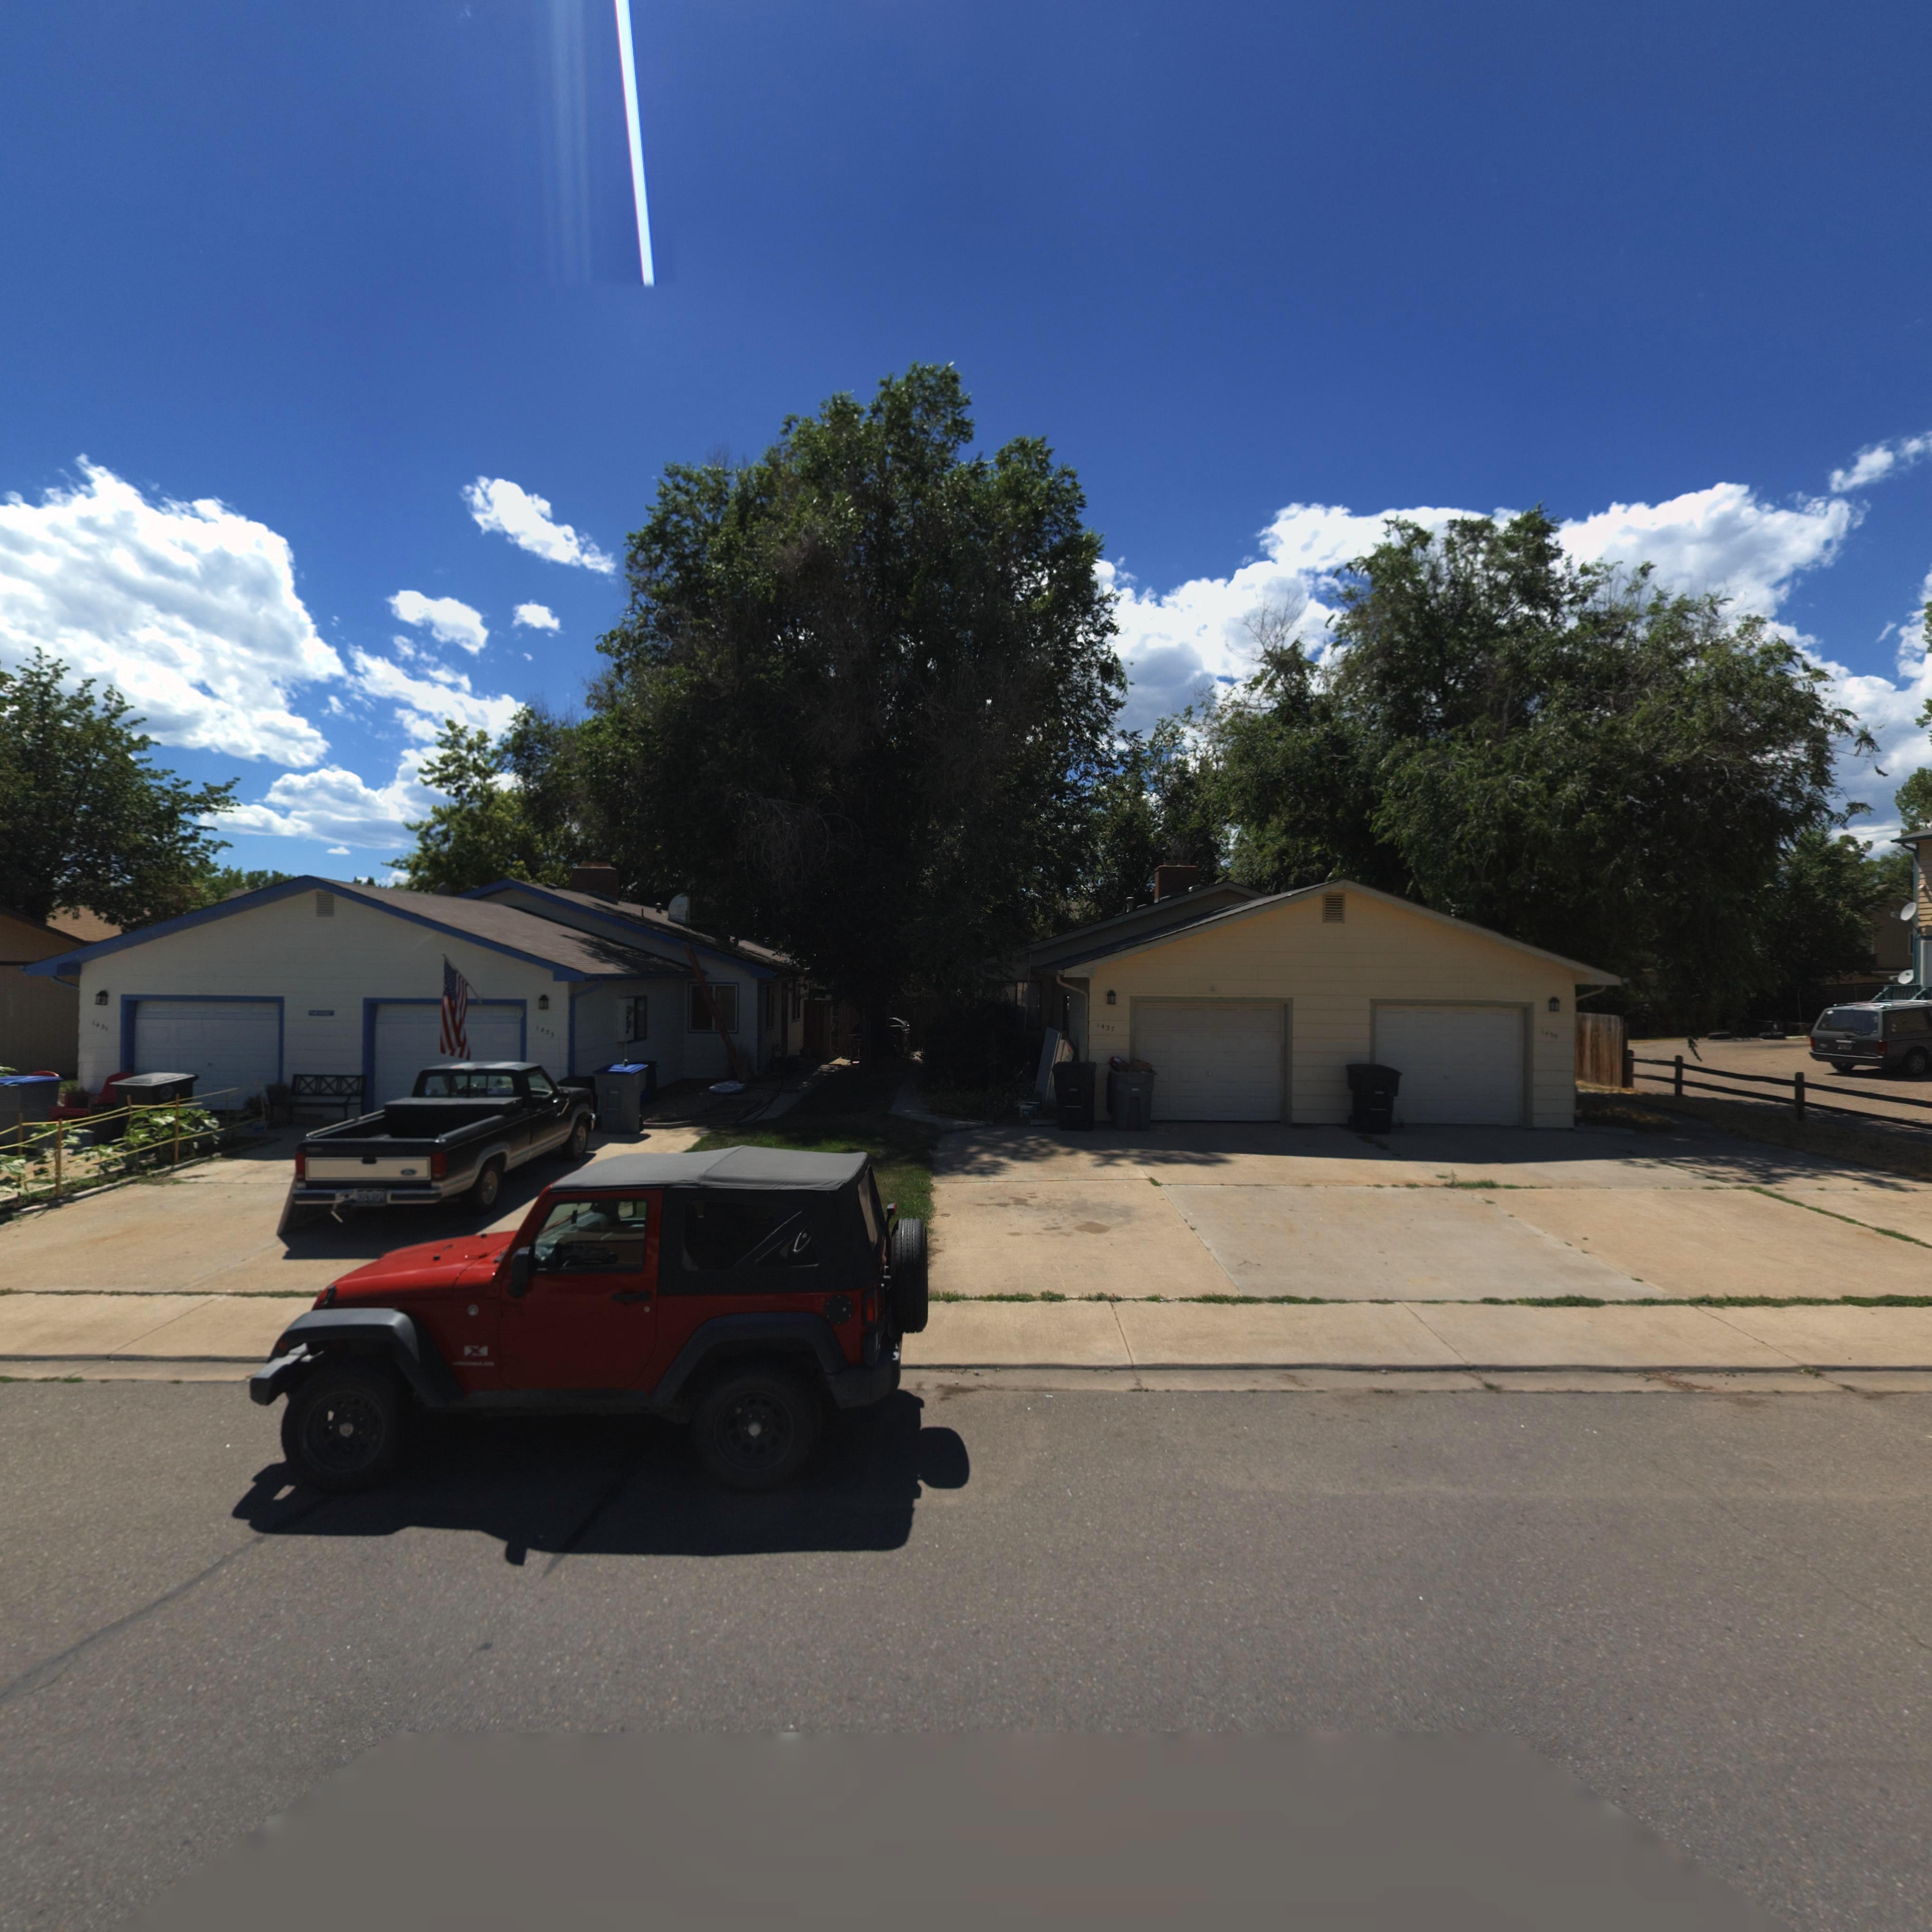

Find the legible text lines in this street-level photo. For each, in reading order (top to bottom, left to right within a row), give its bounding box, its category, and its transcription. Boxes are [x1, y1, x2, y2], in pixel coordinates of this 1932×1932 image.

[534, 1023, 554, 1038] StreetNumber: 1455
[1094, 1020, 1115, 1032] StreetNumber: 1457